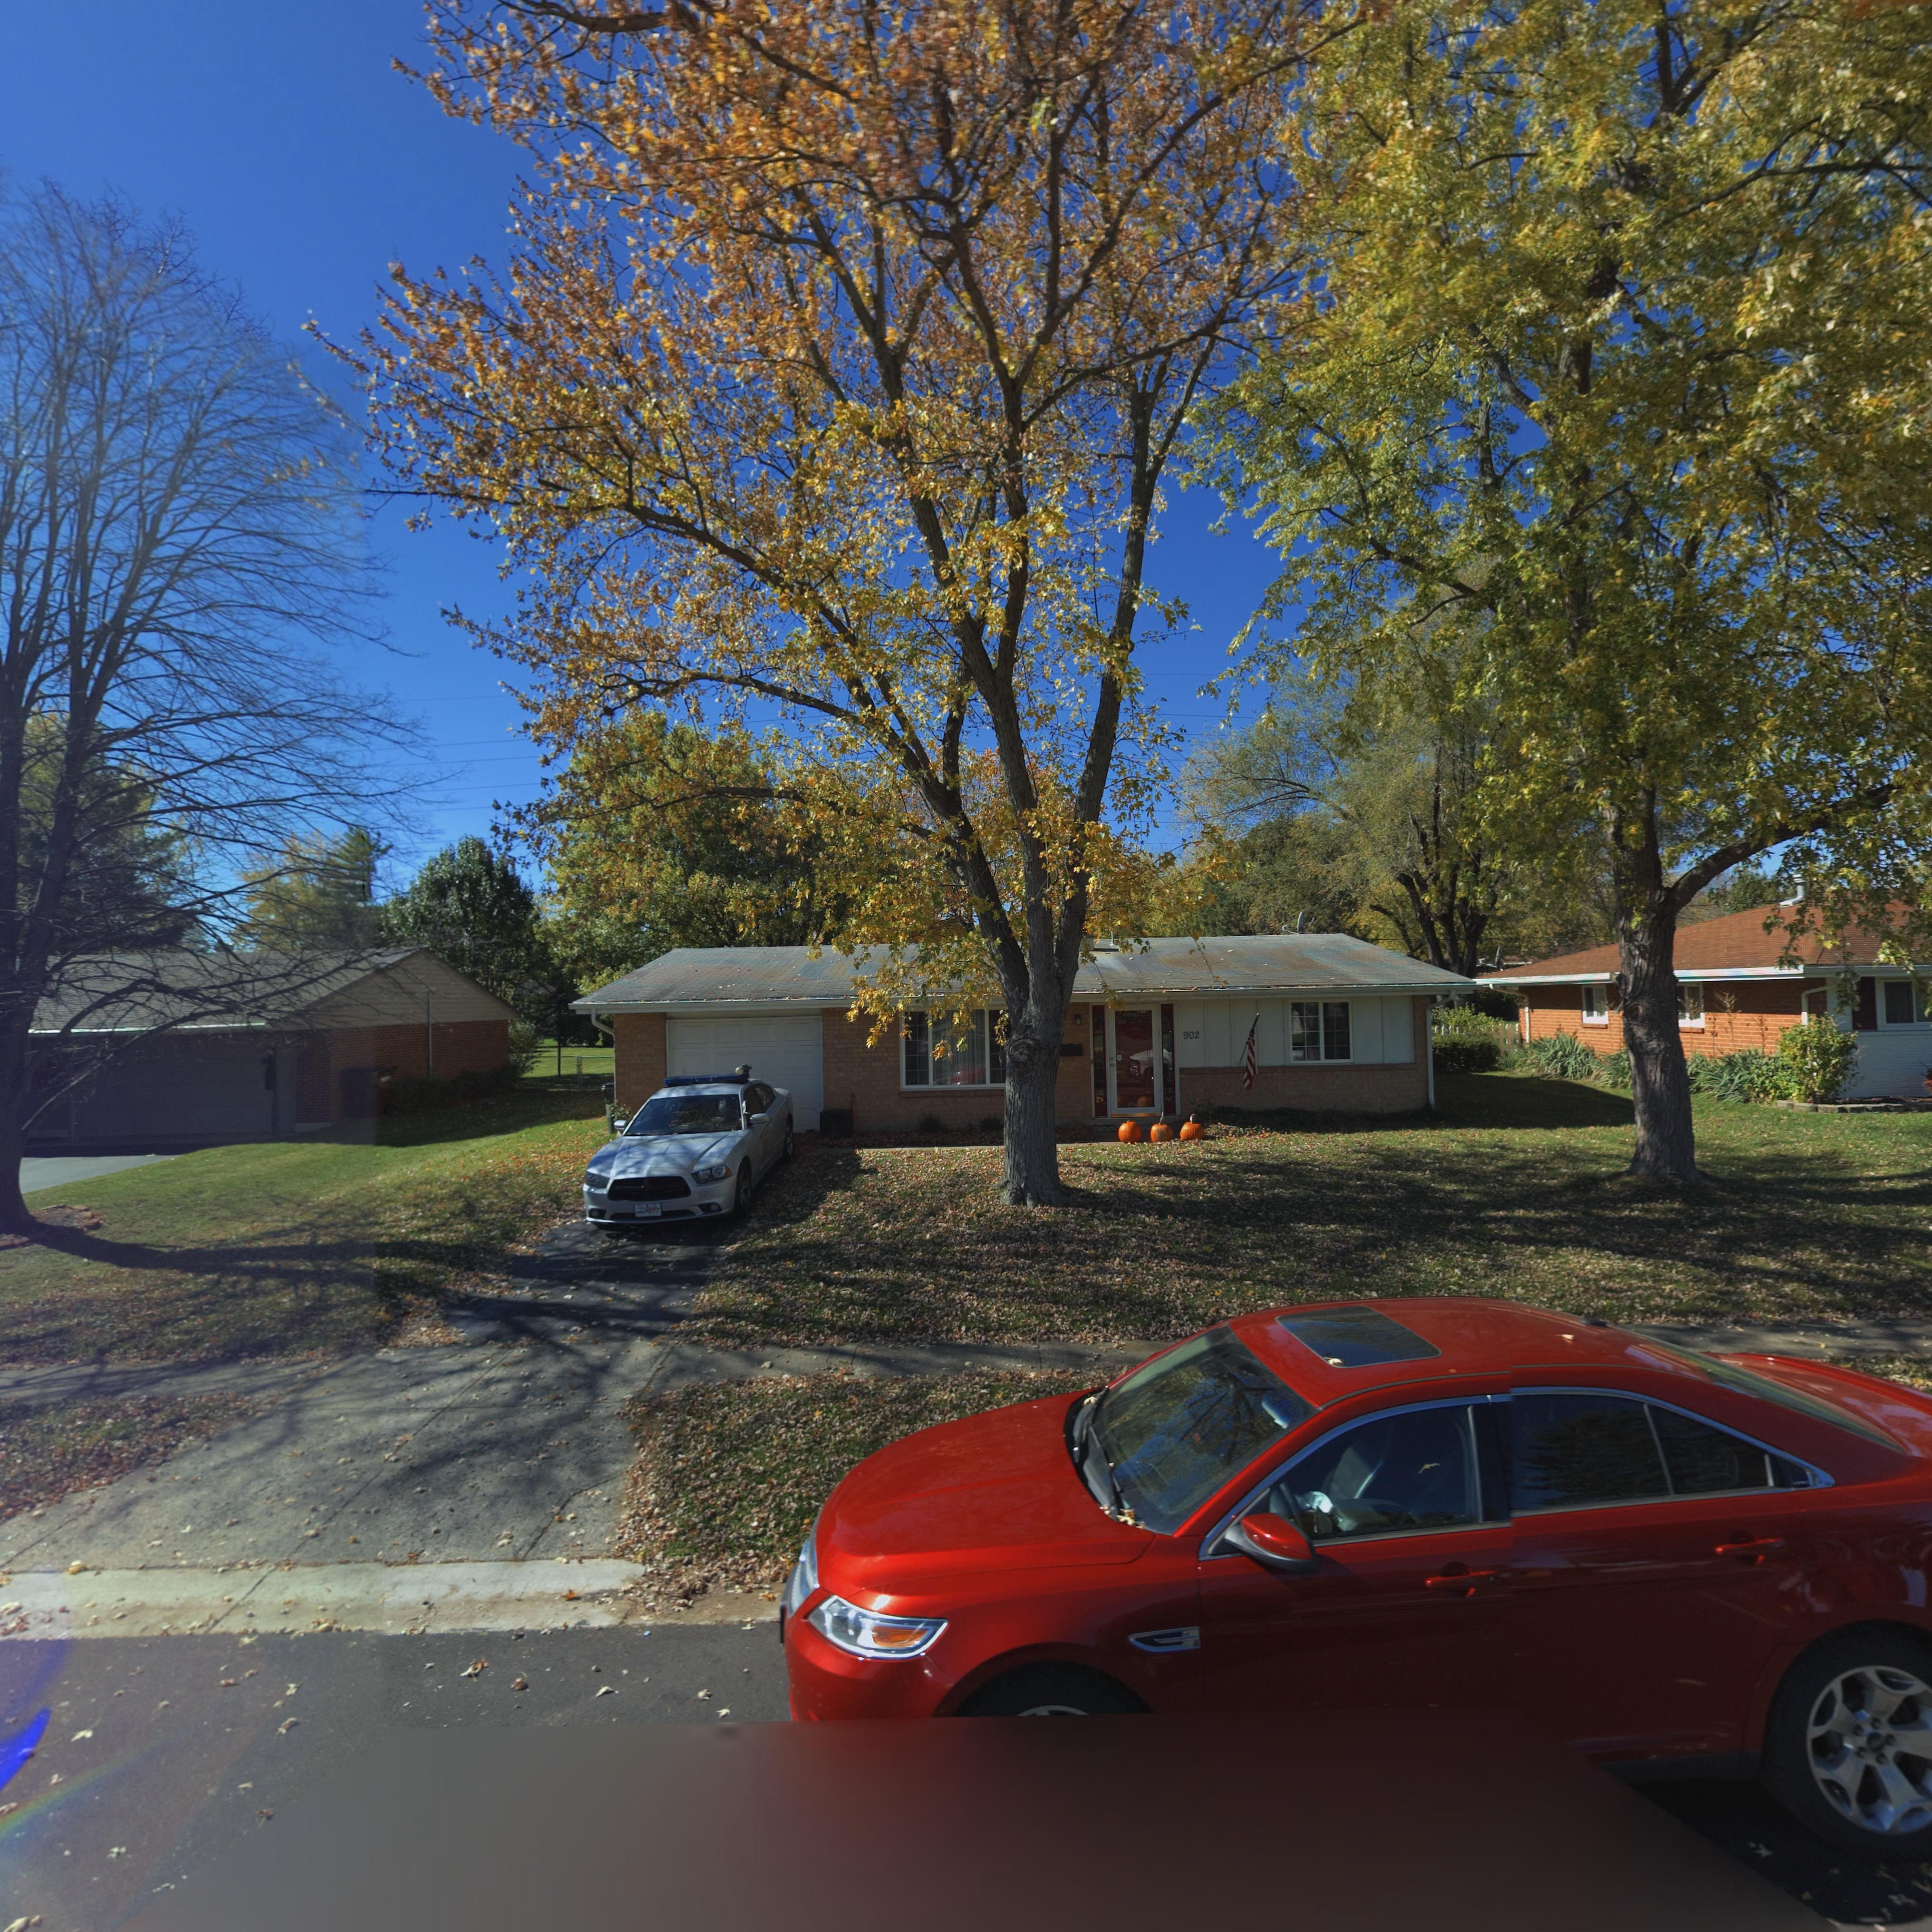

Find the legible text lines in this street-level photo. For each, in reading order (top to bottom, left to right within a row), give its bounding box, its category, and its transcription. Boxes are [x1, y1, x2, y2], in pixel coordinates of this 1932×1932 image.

[1183, 1030, 1200, 1039] StreetNumber: 902